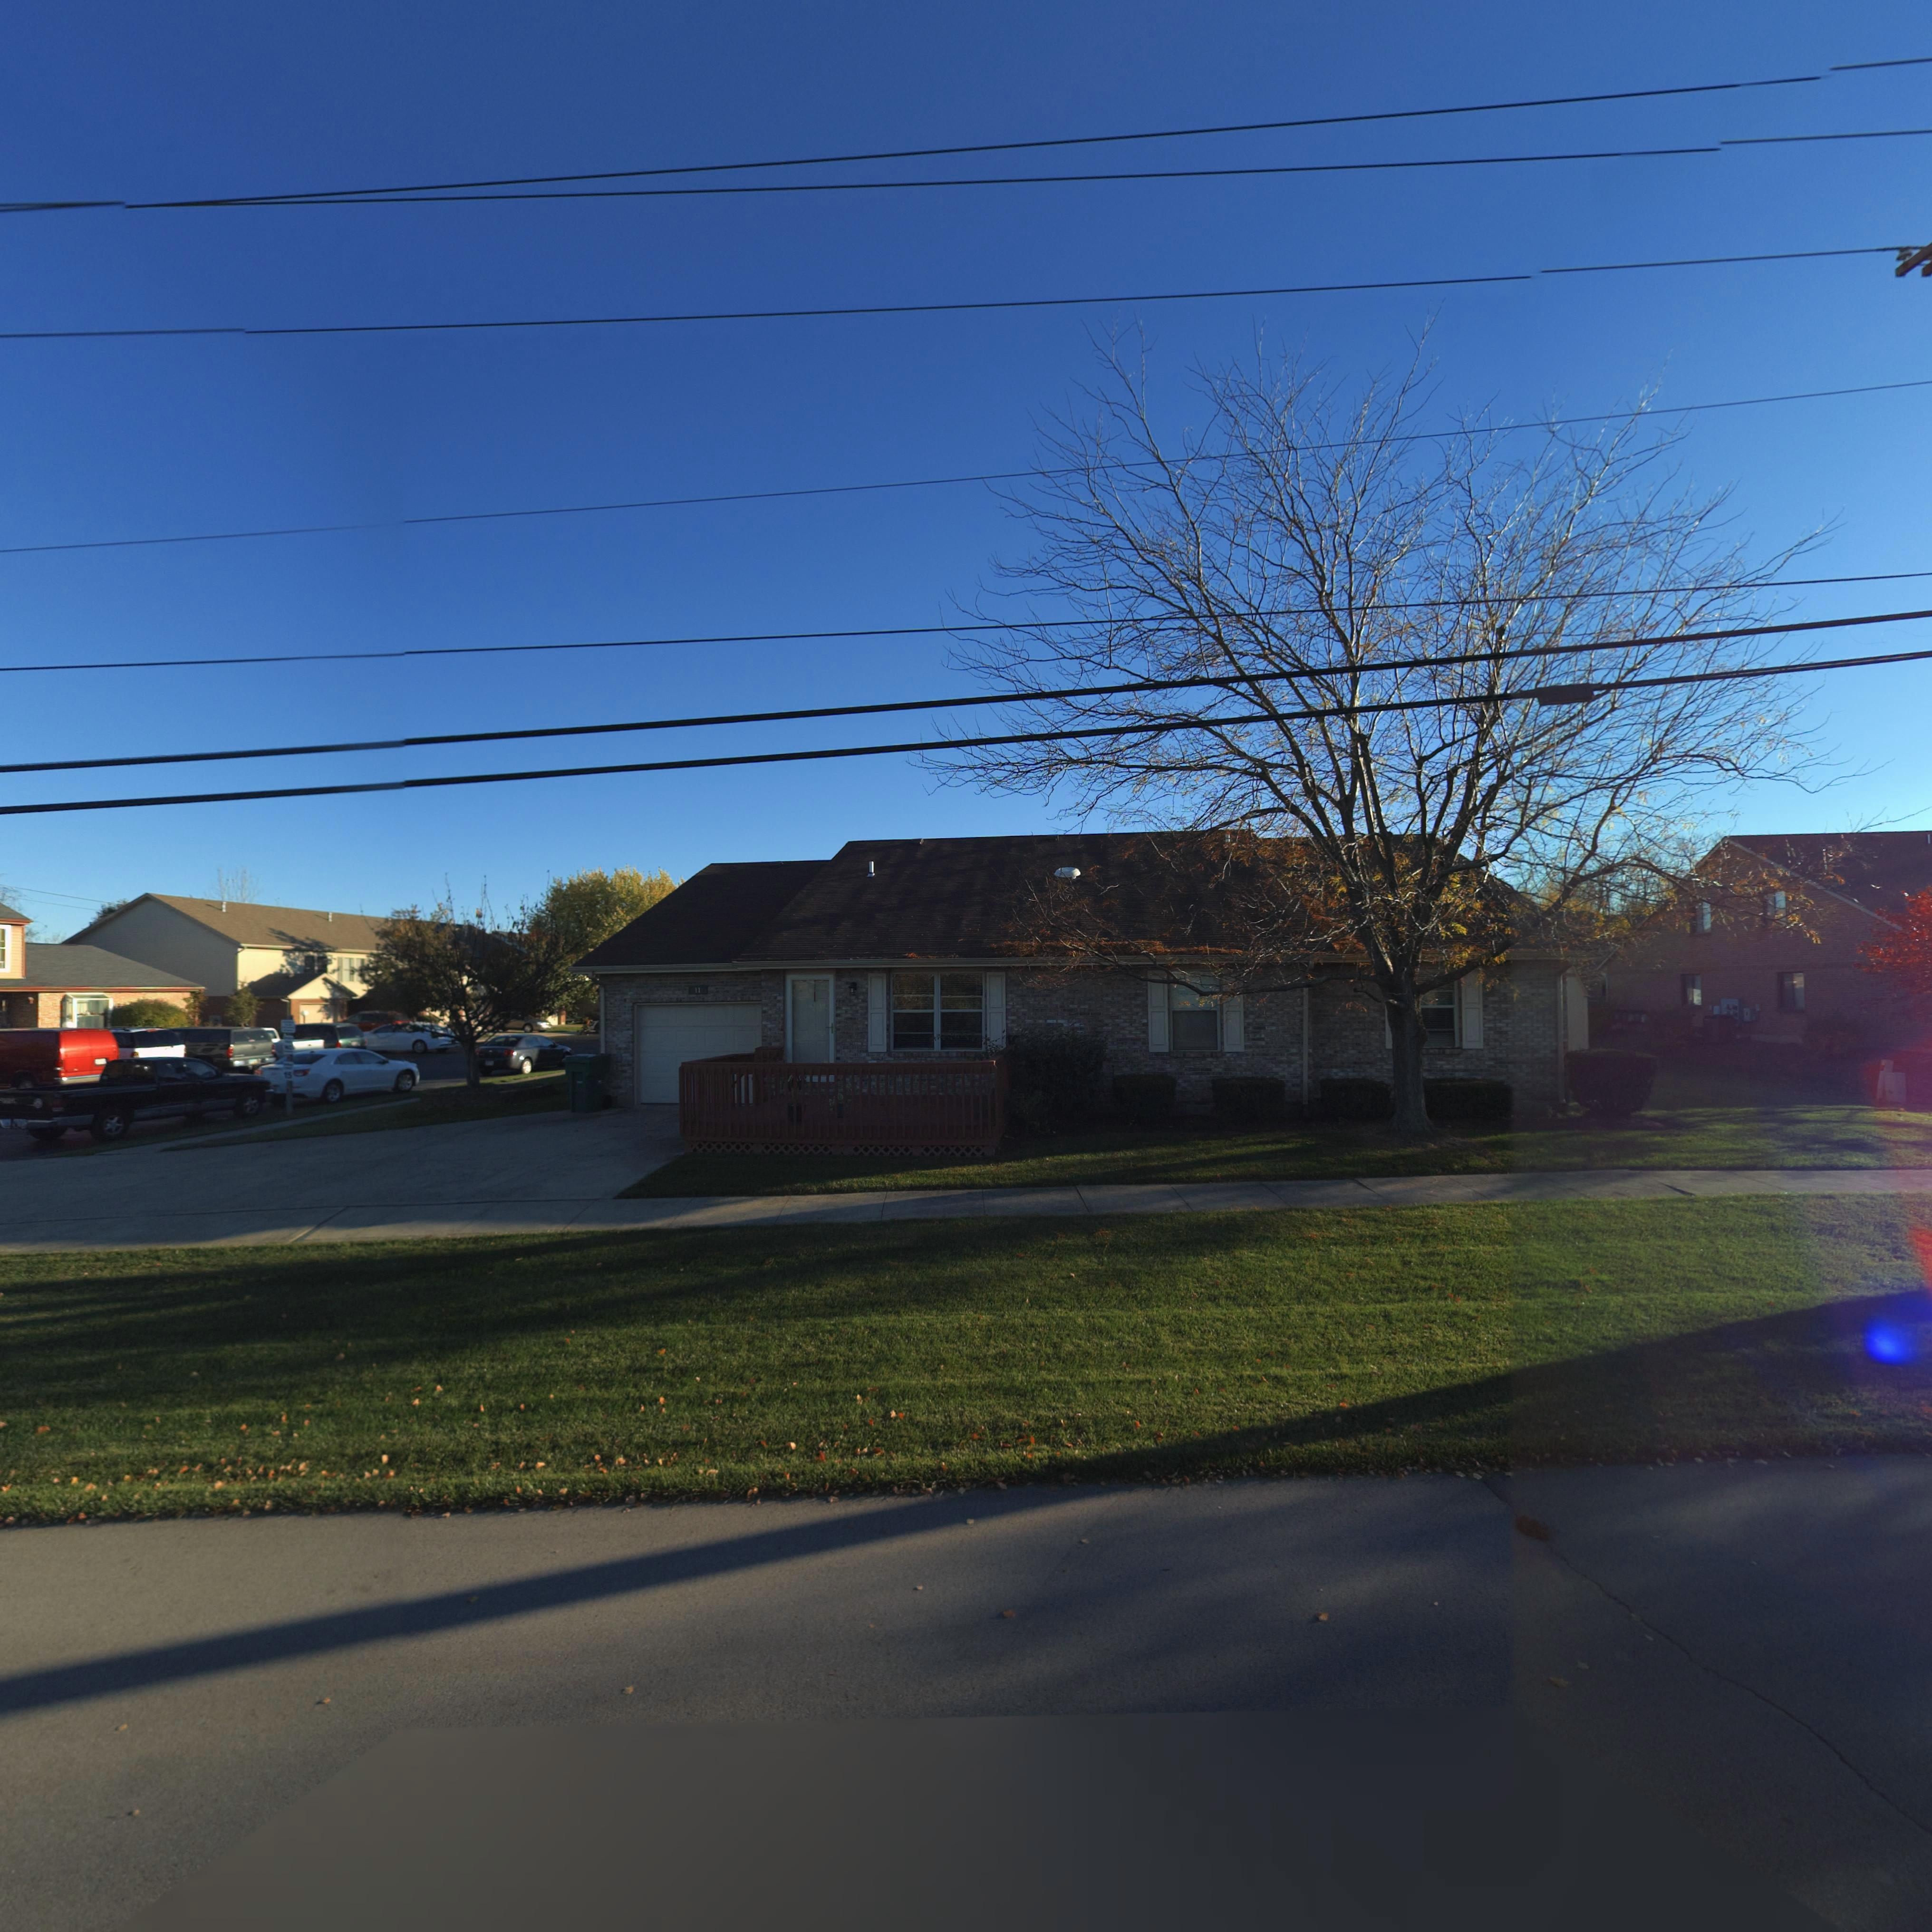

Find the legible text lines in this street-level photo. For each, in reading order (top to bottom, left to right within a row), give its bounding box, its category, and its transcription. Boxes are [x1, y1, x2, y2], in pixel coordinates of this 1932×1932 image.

[695, 986, 701, 994] StreetNumber: 11